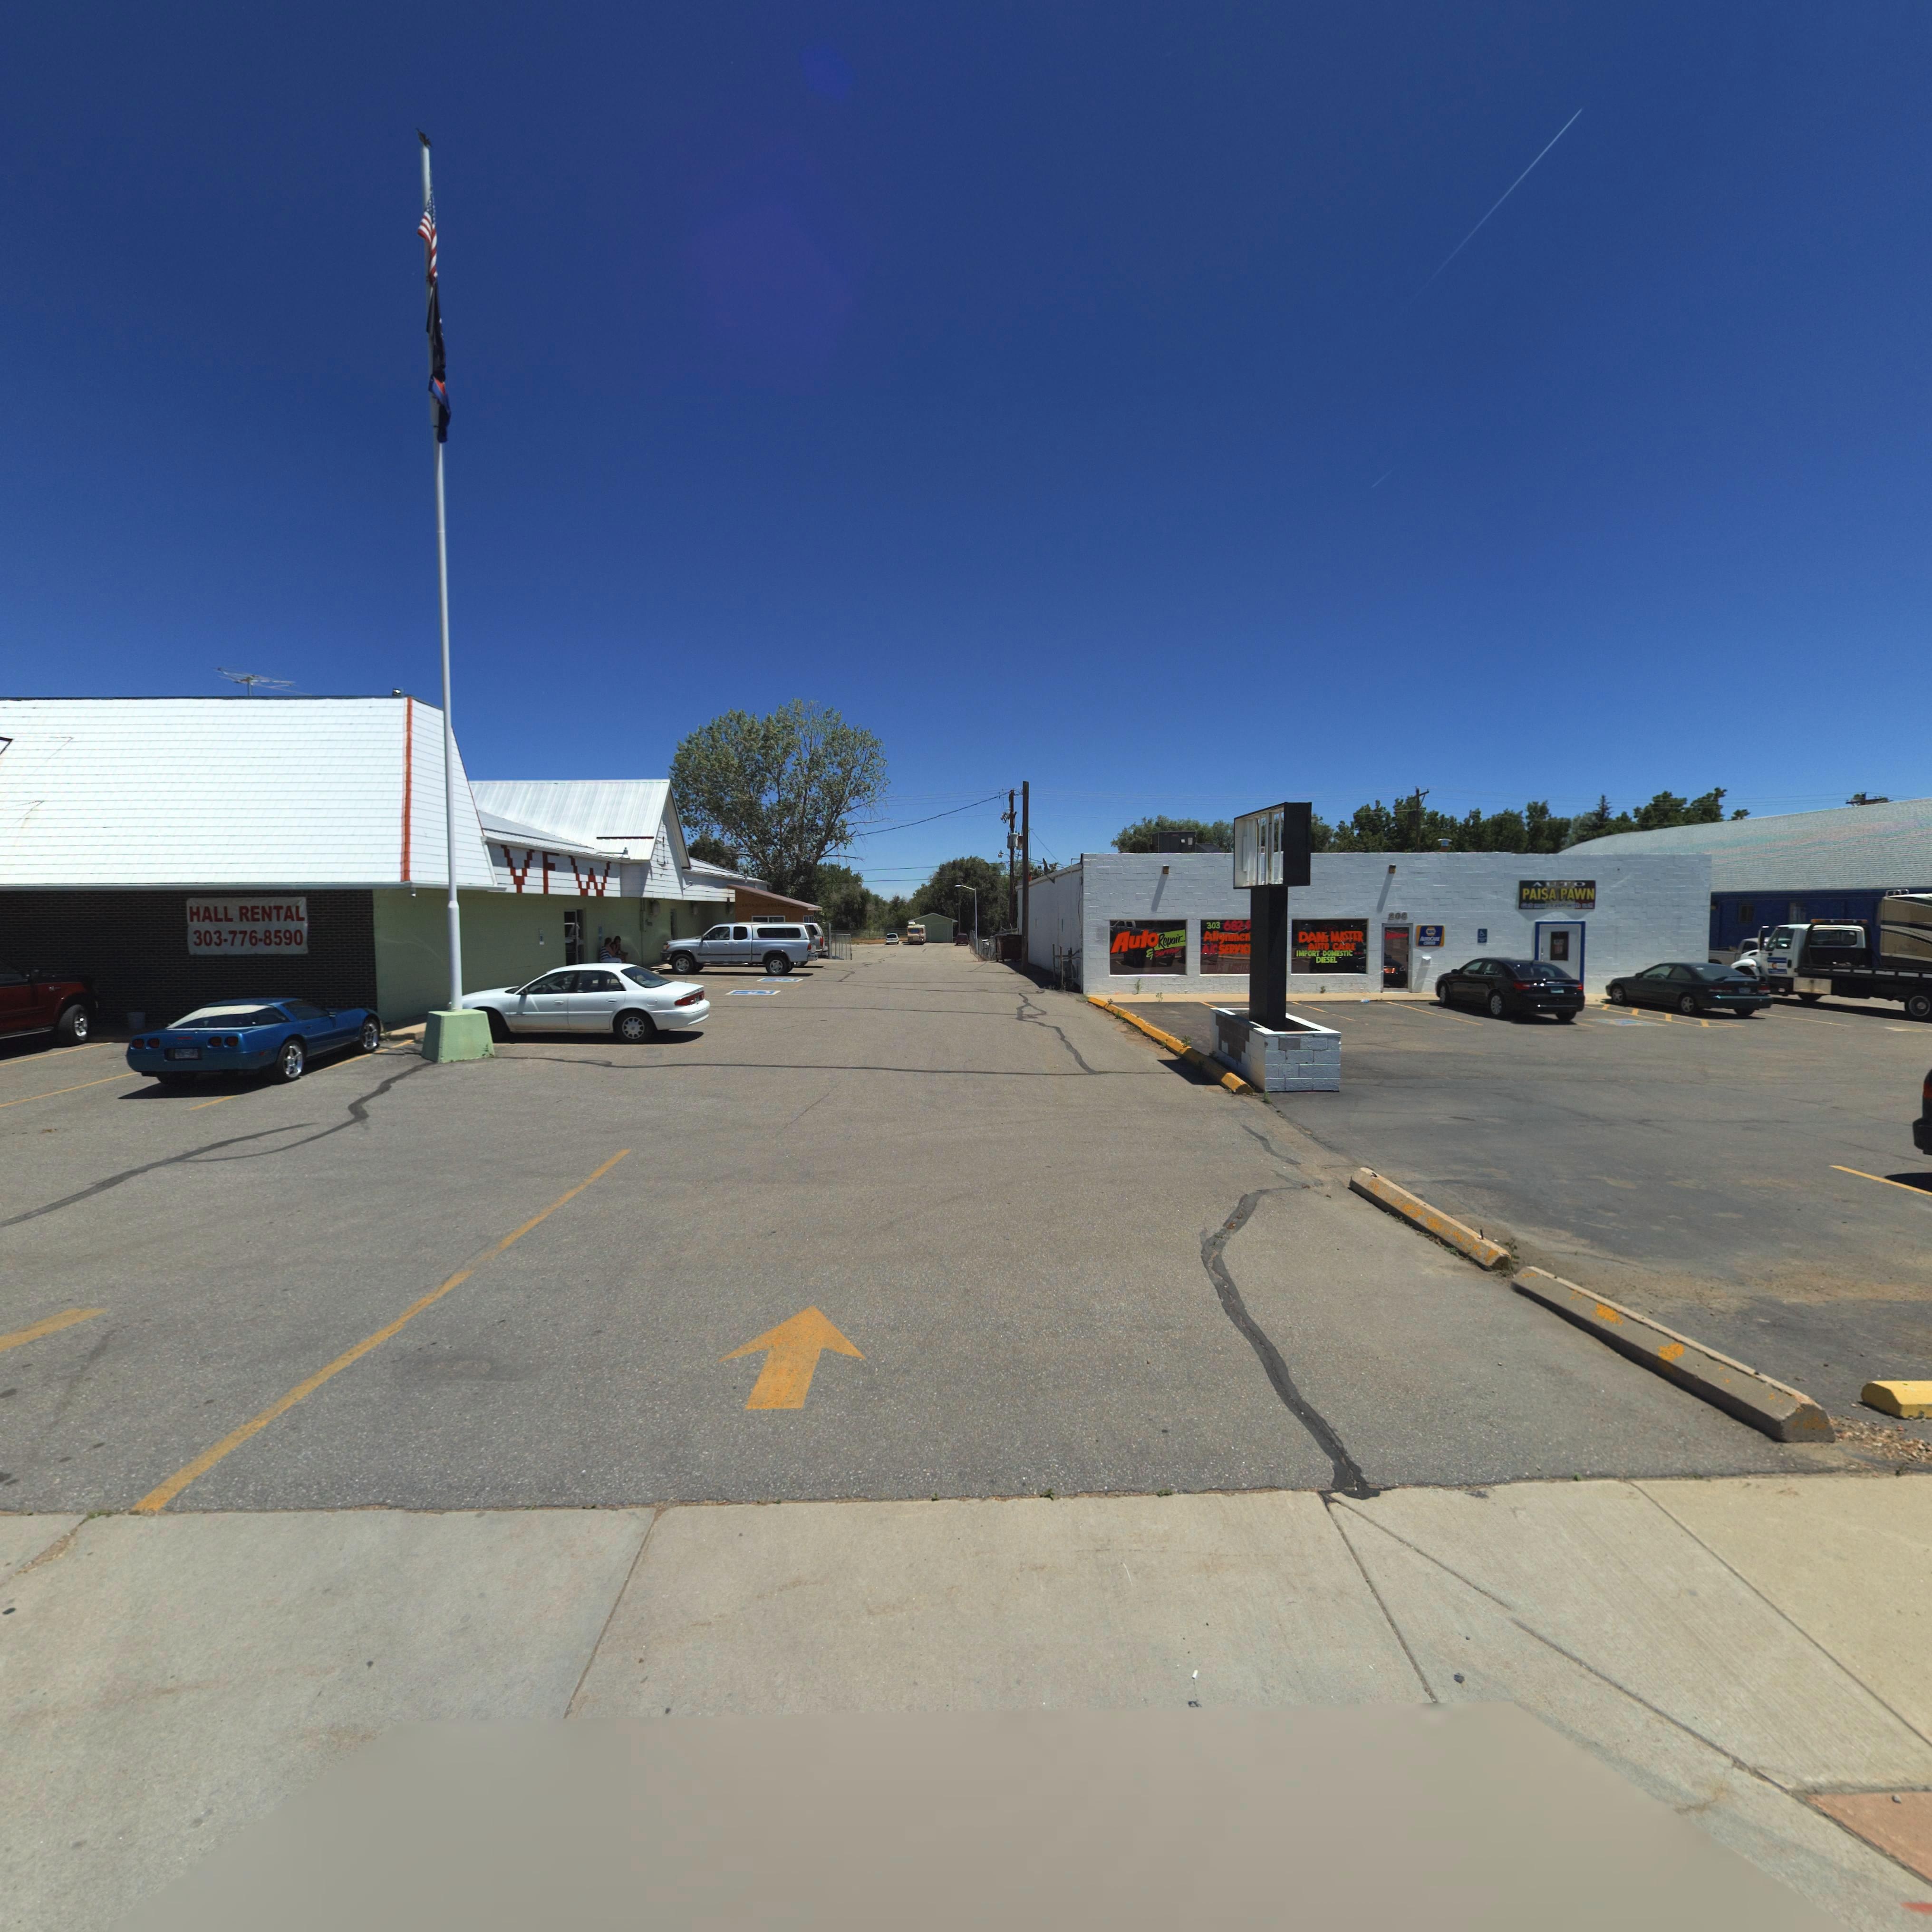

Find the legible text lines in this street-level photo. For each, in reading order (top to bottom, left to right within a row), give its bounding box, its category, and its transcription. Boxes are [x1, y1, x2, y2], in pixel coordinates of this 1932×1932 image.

[499, 844, 612, 897] BusinessName: VFW
[1532, 881, 1585, 886] BusinessName: AUTO
[1523, 888, 1594, 899] BusinessName: PAISA PAWN
[1388, 912, 1408, 920] StreetNumber: 208
[1427, 929, 1434, 933] BusinessName: **P*
[1419, 936, 1439, 941] BusinessName: A**OC***
[1423, 941, 1436, 945] BusinessName: C*****